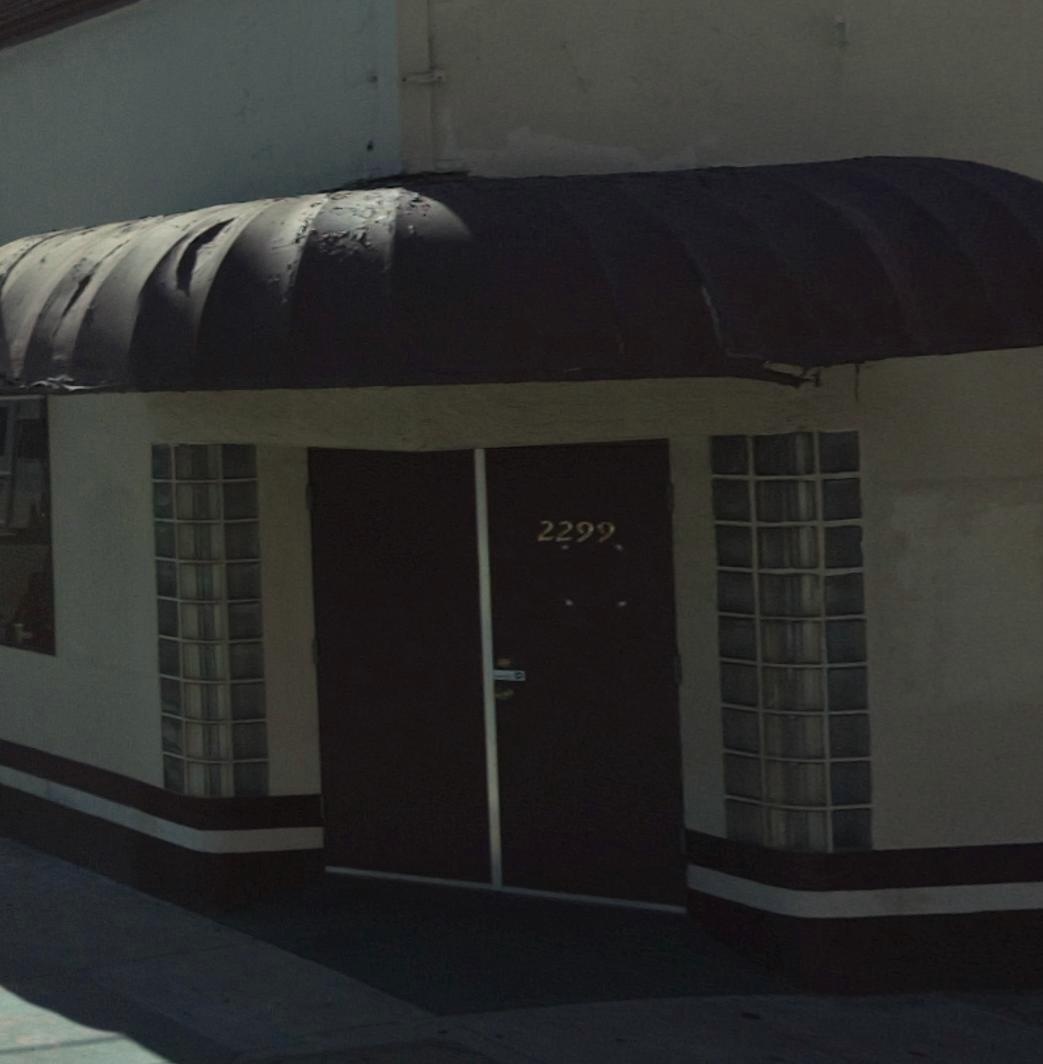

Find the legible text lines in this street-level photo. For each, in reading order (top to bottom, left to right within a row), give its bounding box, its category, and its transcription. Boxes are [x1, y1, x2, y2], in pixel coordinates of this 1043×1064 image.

[533, 517, 617, 544] StreetNumber: 2299